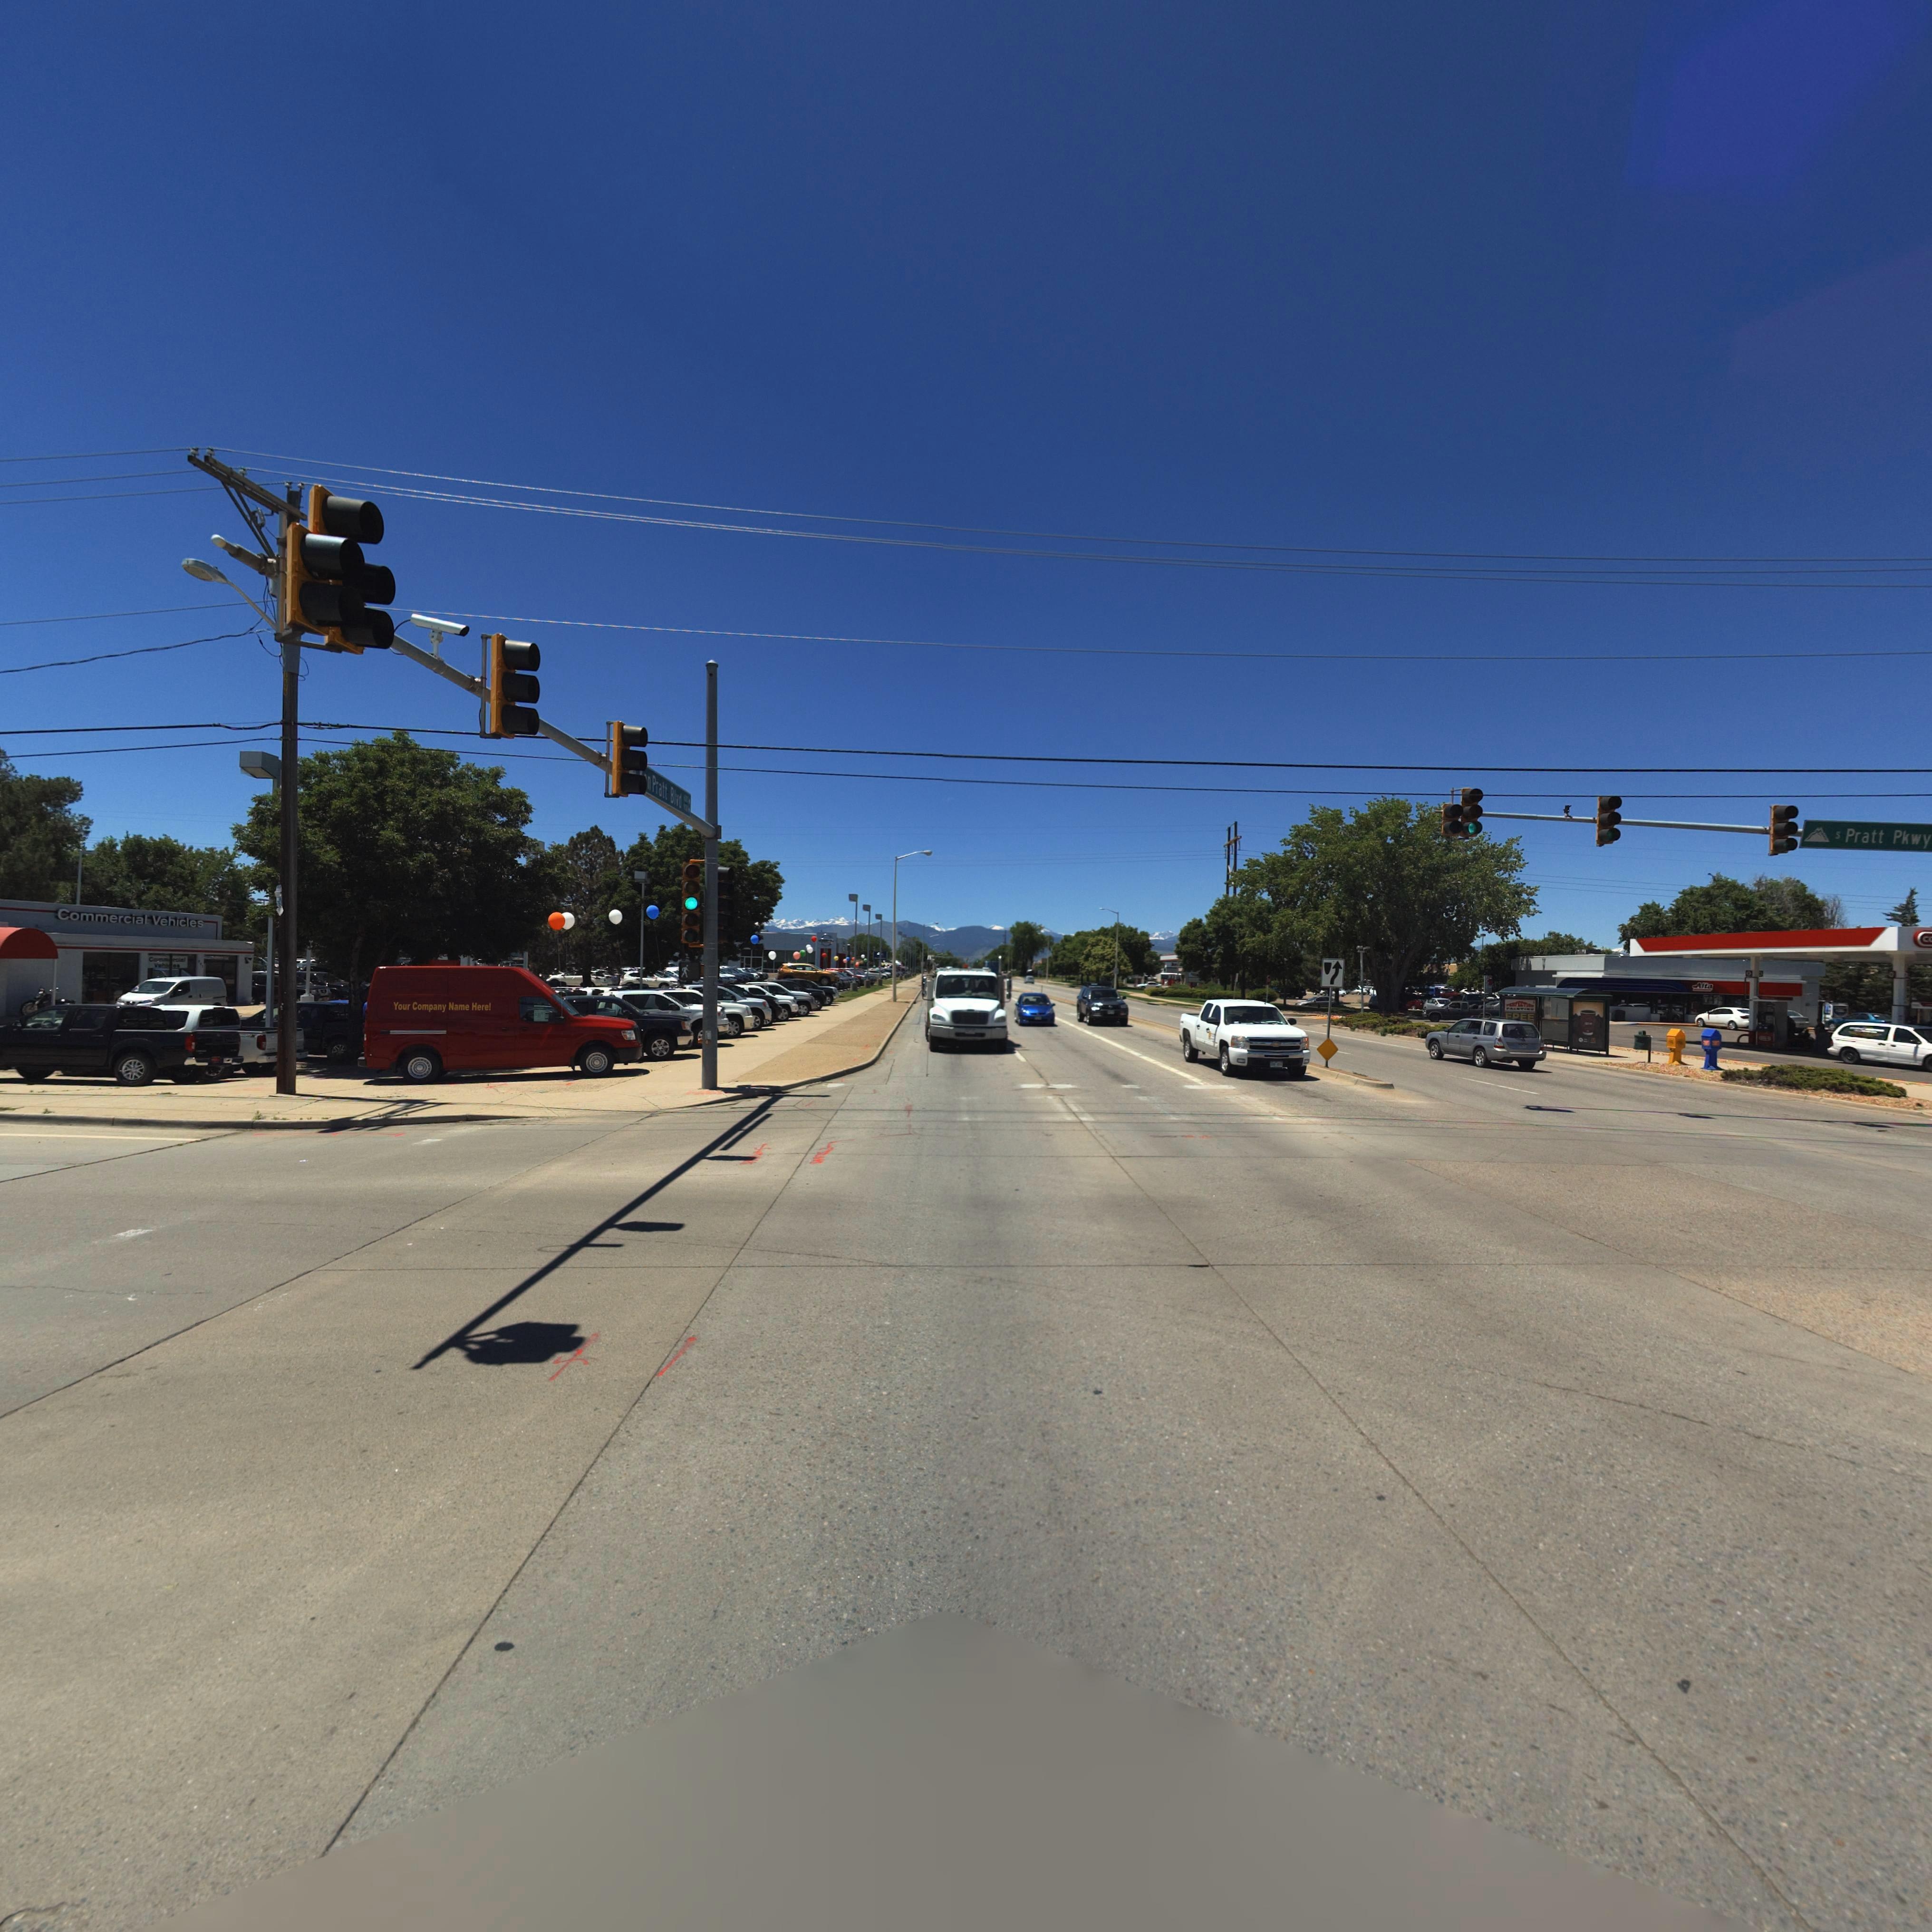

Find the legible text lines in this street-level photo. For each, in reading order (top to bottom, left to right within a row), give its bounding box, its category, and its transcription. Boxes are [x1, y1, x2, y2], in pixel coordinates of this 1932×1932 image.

[639, 767, 682, 809] StreetName: **n Pratt Blvd
[1834, 827, 1931, 849] StreetName: S Pratt Pkwy
[1922, 935, 1929, 943] BusinessName: c
[1691, 981, 1713, 989] BusinessName: Alta